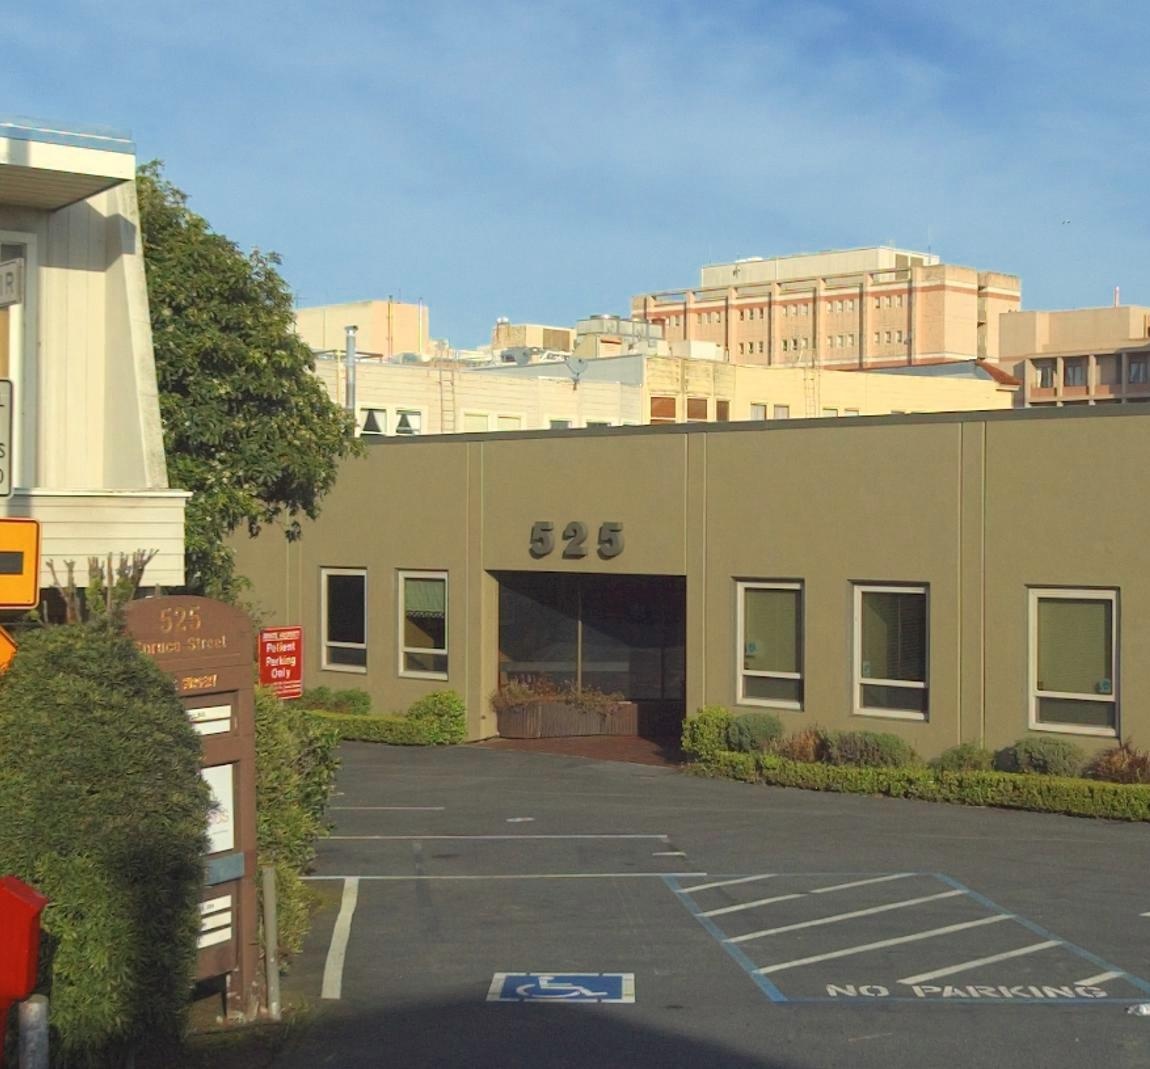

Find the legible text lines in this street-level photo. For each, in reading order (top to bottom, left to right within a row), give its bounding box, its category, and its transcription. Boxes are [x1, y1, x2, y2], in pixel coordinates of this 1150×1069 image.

[3, 269, 18, 299] StreetName: R
[529, 519, 626, 558] StreetNumber: 525
[158, 603, 204, 636] StreetNumber: 525
[149, 631, 229, 657] StreetName: ruce Street
[264, 653, 299, 670] None: P*****g
[269, 665, 294, 681] None: Only
[822, 981, 1112, 1001] None: NO PARKING